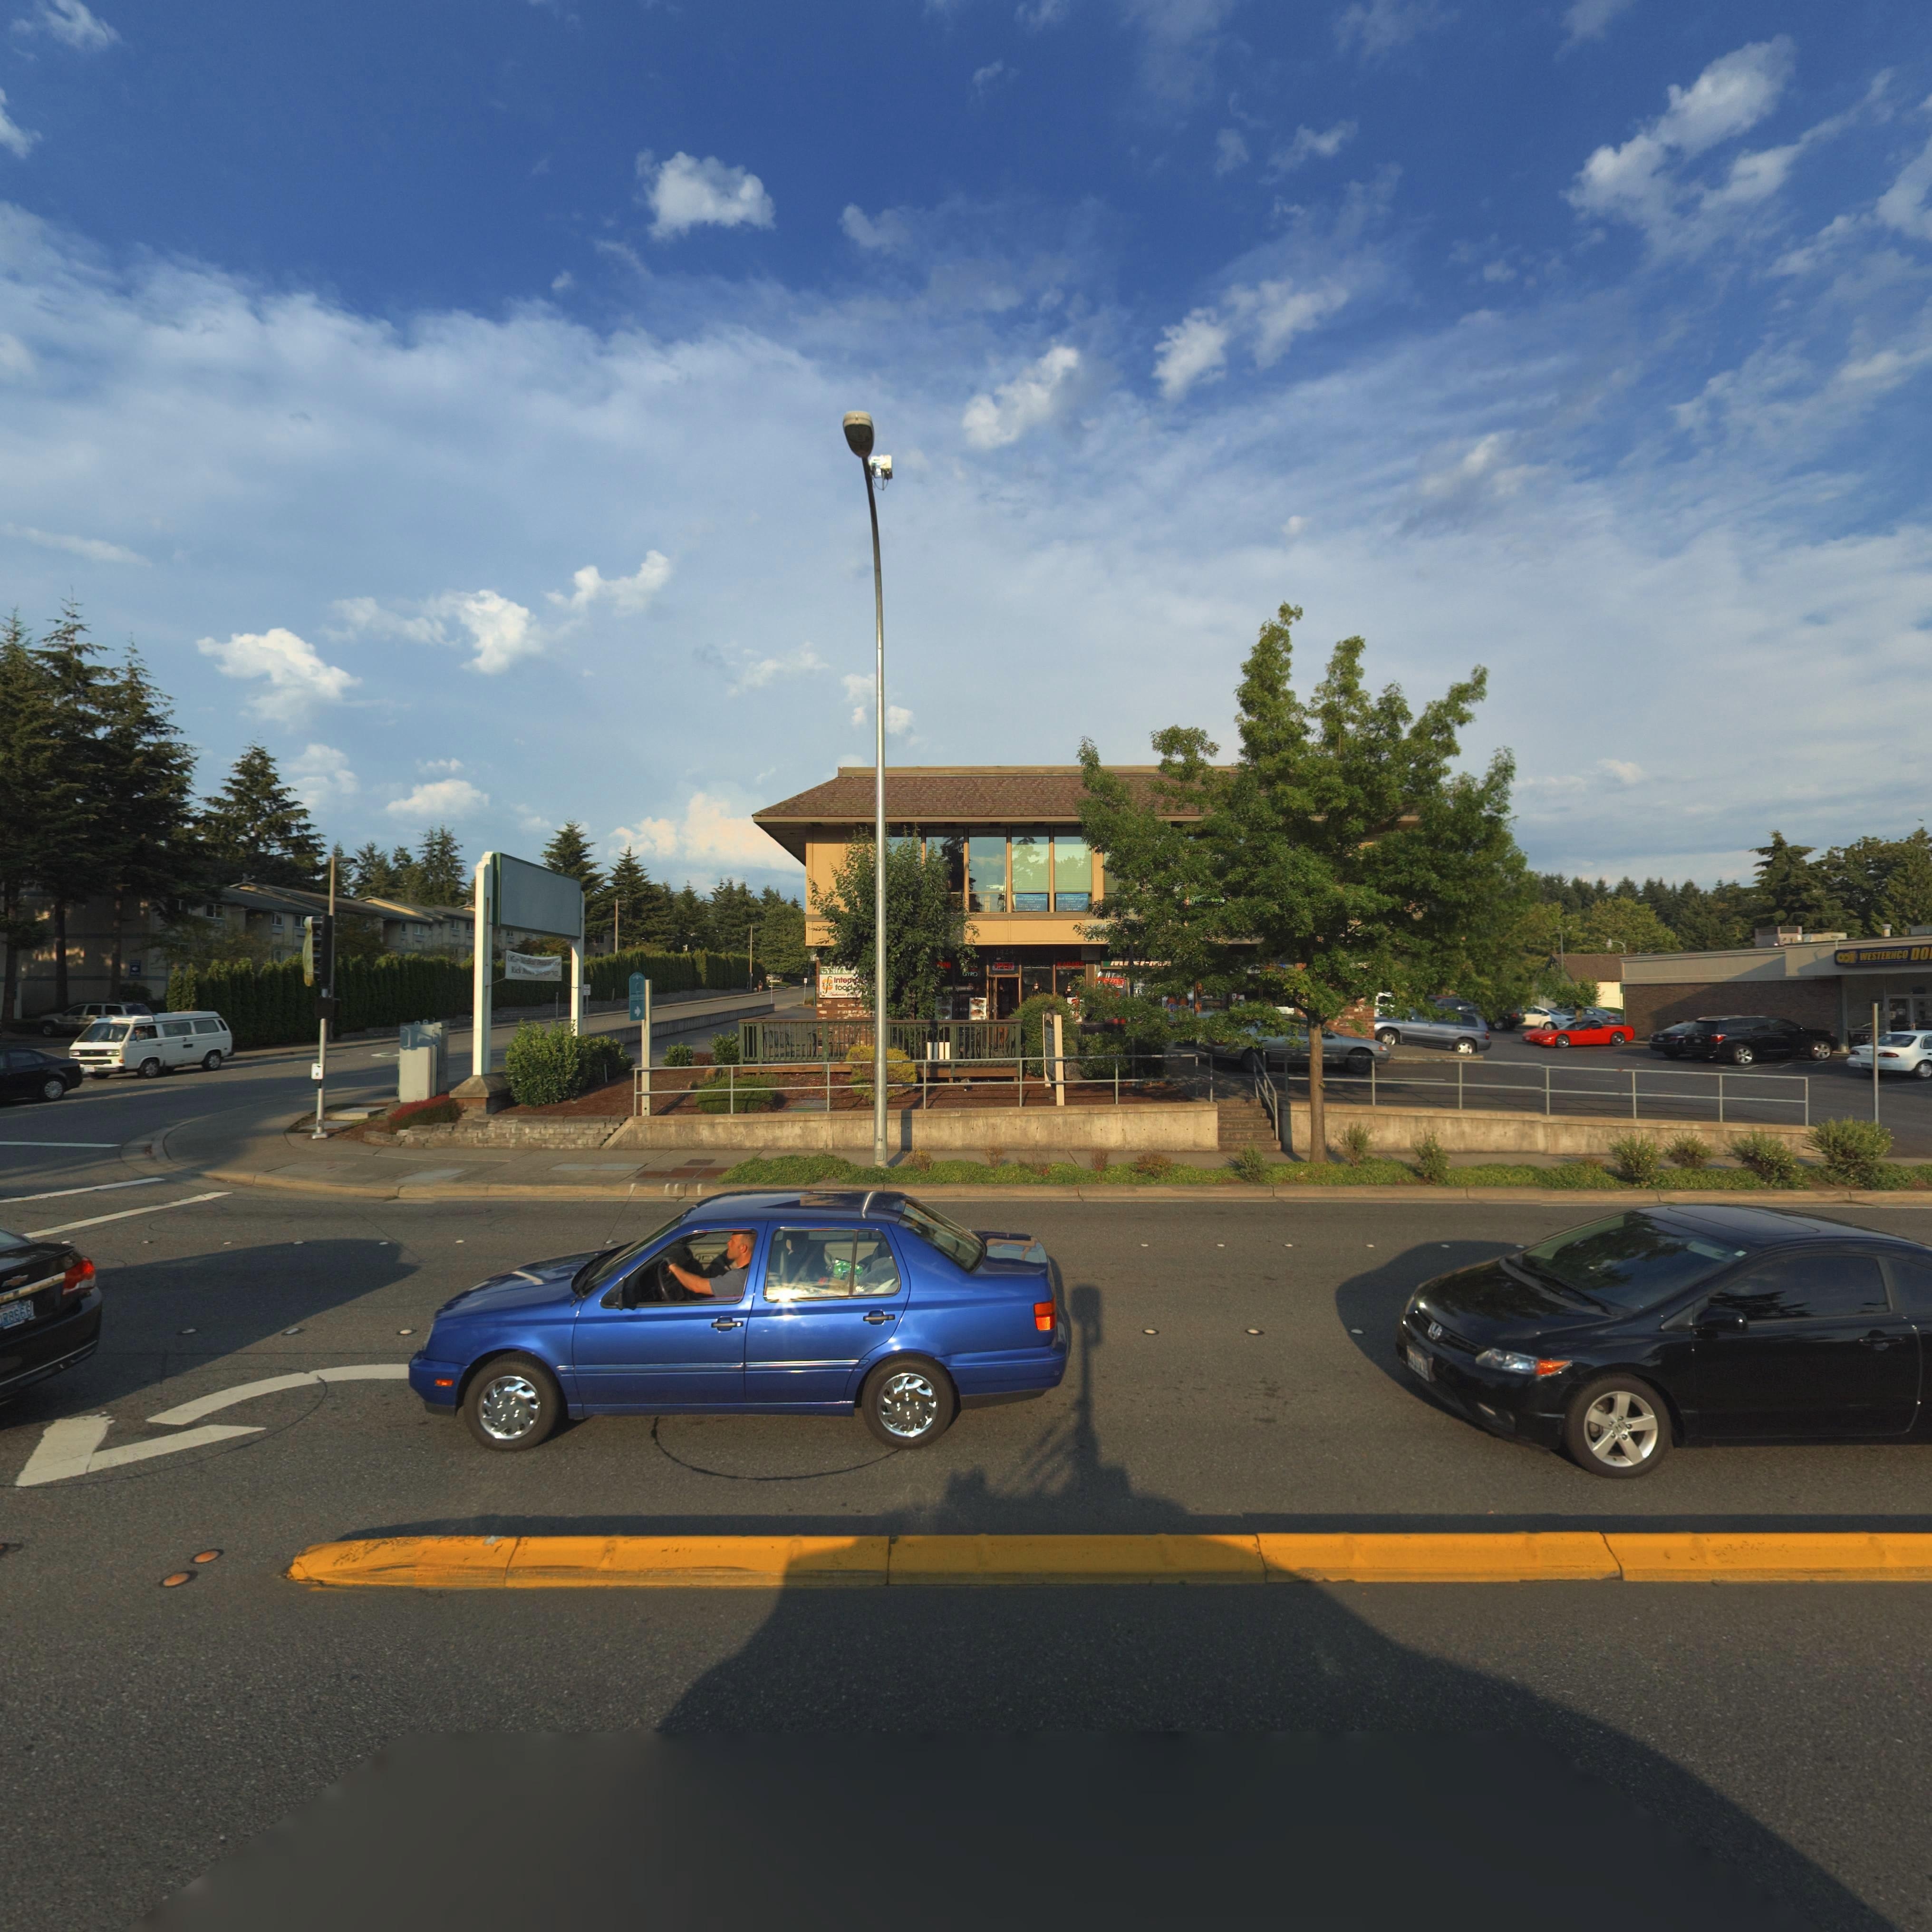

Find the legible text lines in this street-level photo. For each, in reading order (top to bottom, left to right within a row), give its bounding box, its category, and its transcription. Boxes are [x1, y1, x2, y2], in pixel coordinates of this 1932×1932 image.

[996, 948, 1014, 955] StreetNumber: 1424
[1859, 949, 1909, 961] BusinessName: WESTERNCO
[1910, 947, 1929, 960] BusinessName: DO
[1110, 956, 1130, 966] BusinessName: MI